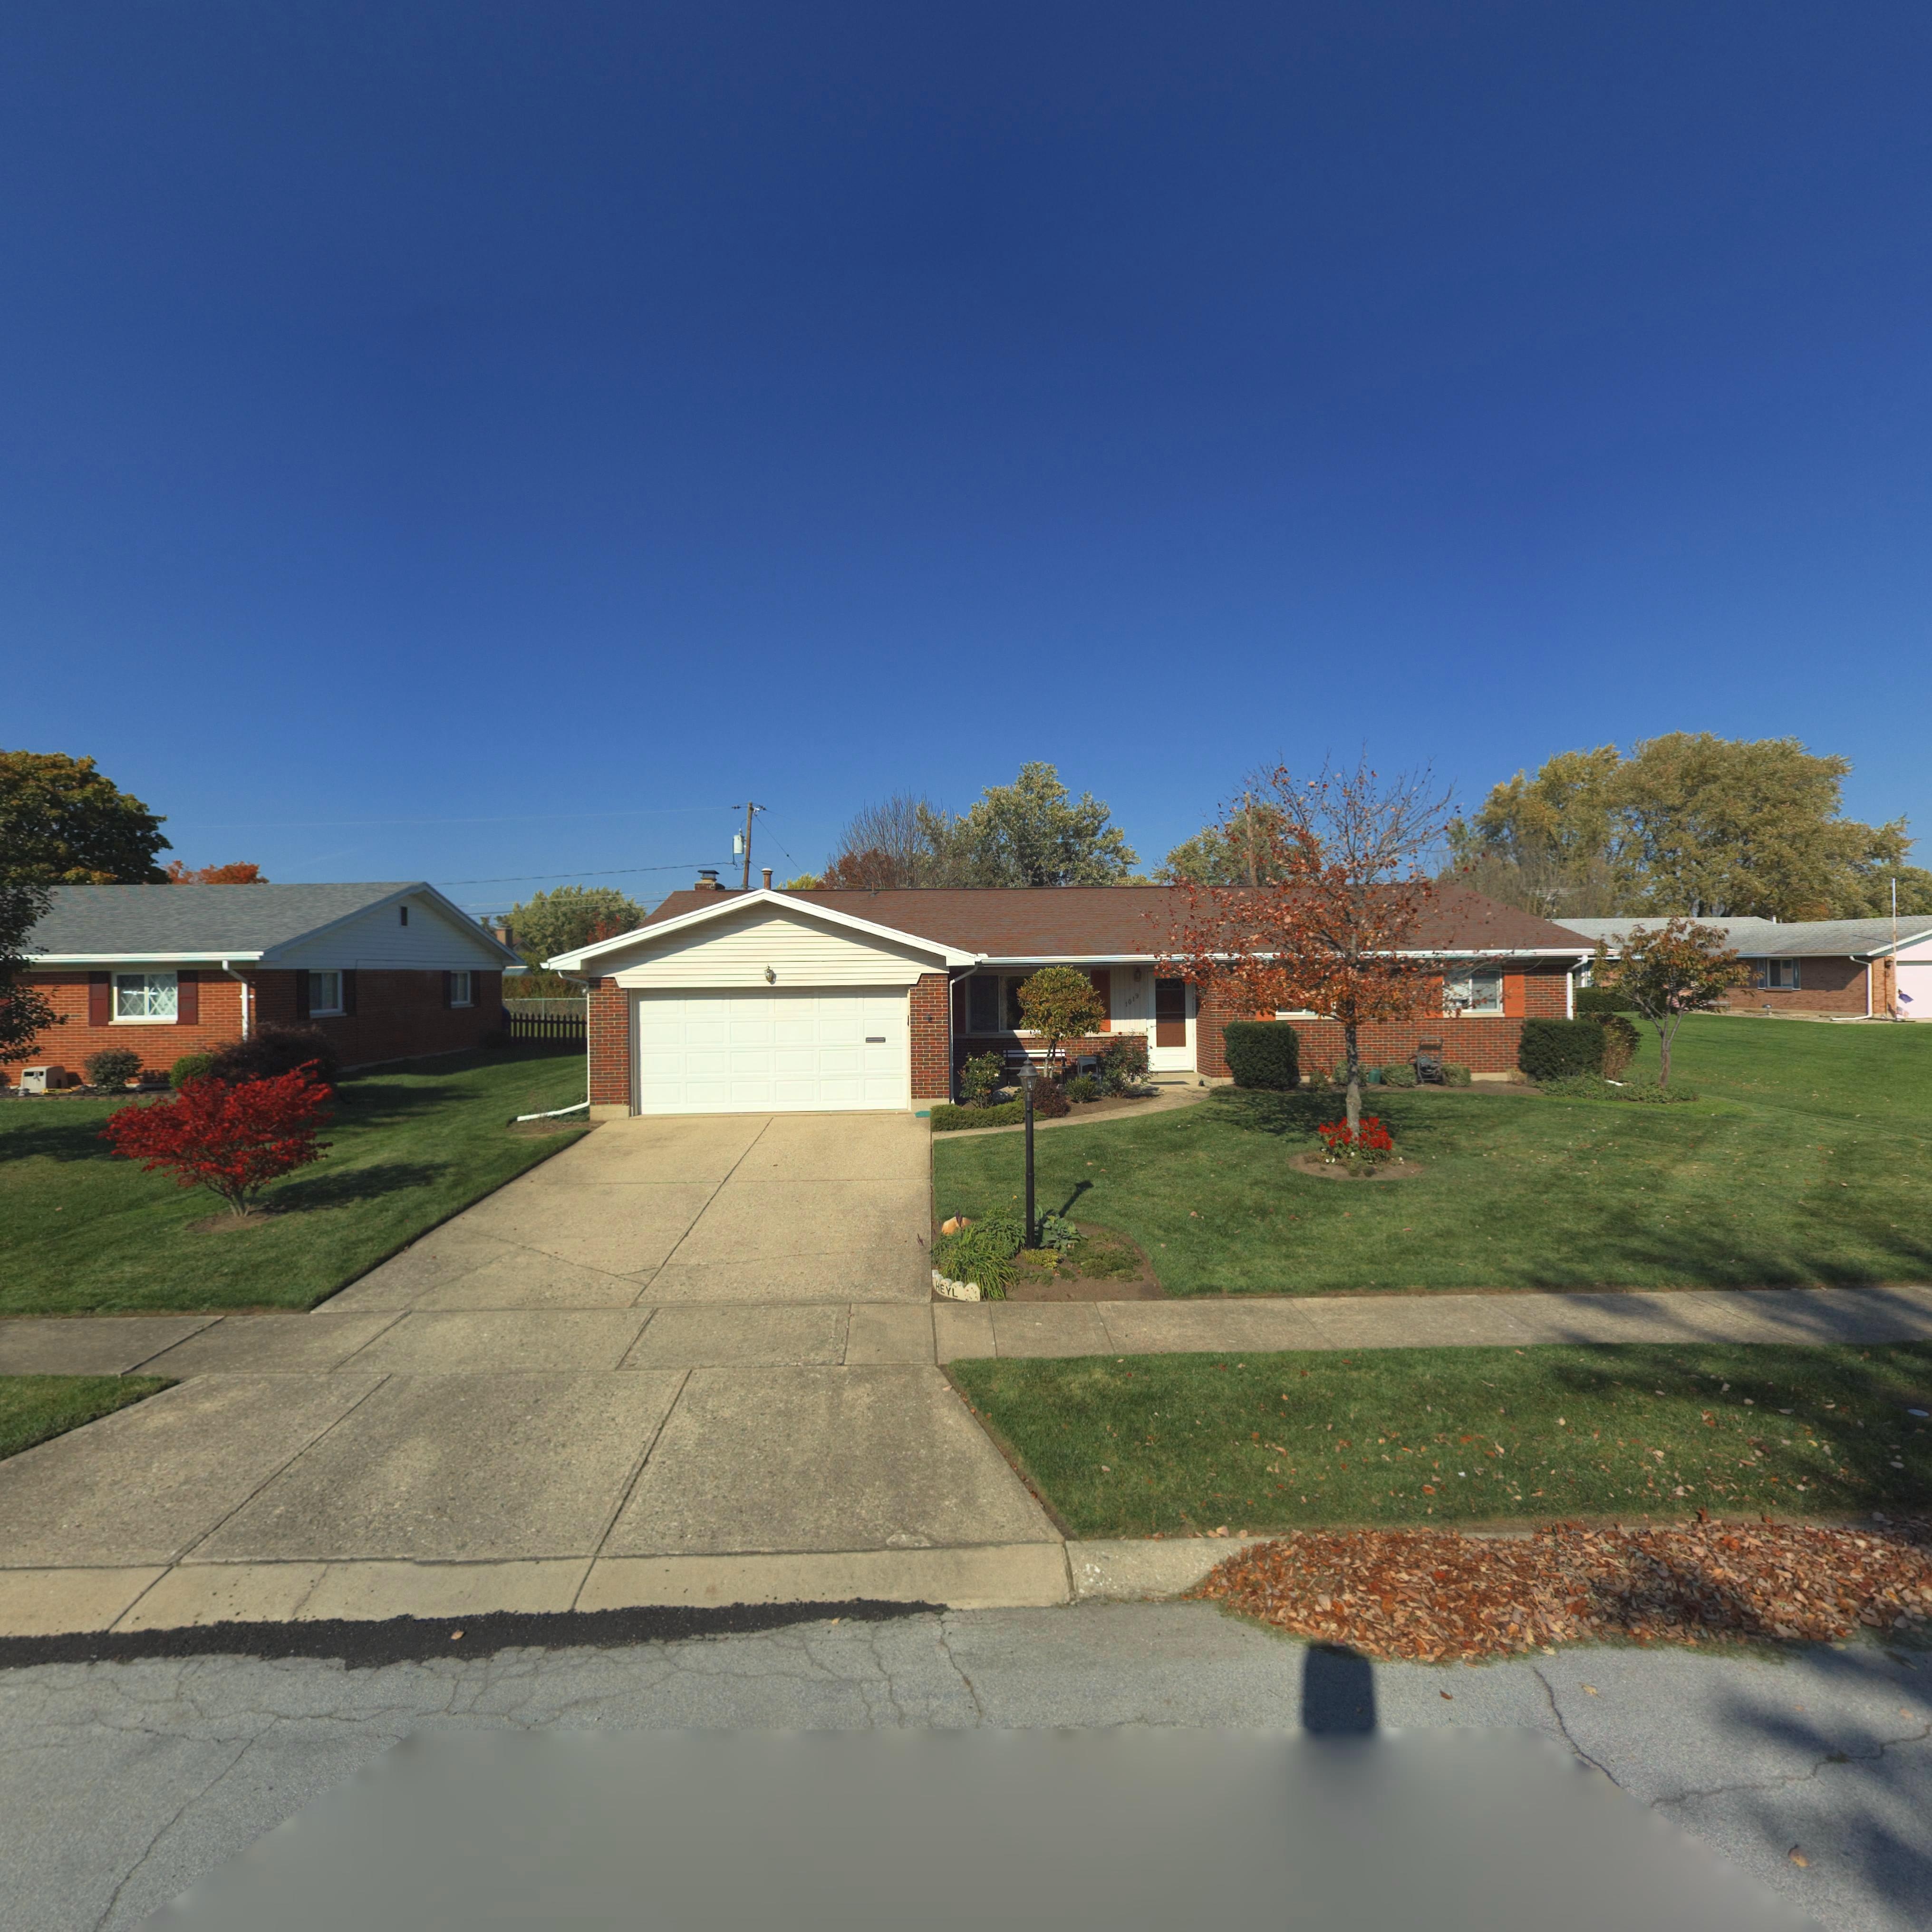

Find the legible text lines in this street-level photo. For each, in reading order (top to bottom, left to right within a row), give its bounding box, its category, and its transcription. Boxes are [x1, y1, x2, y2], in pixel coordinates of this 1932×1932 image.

[1124, 992, 1140, 1008] StreetNumber: 1019